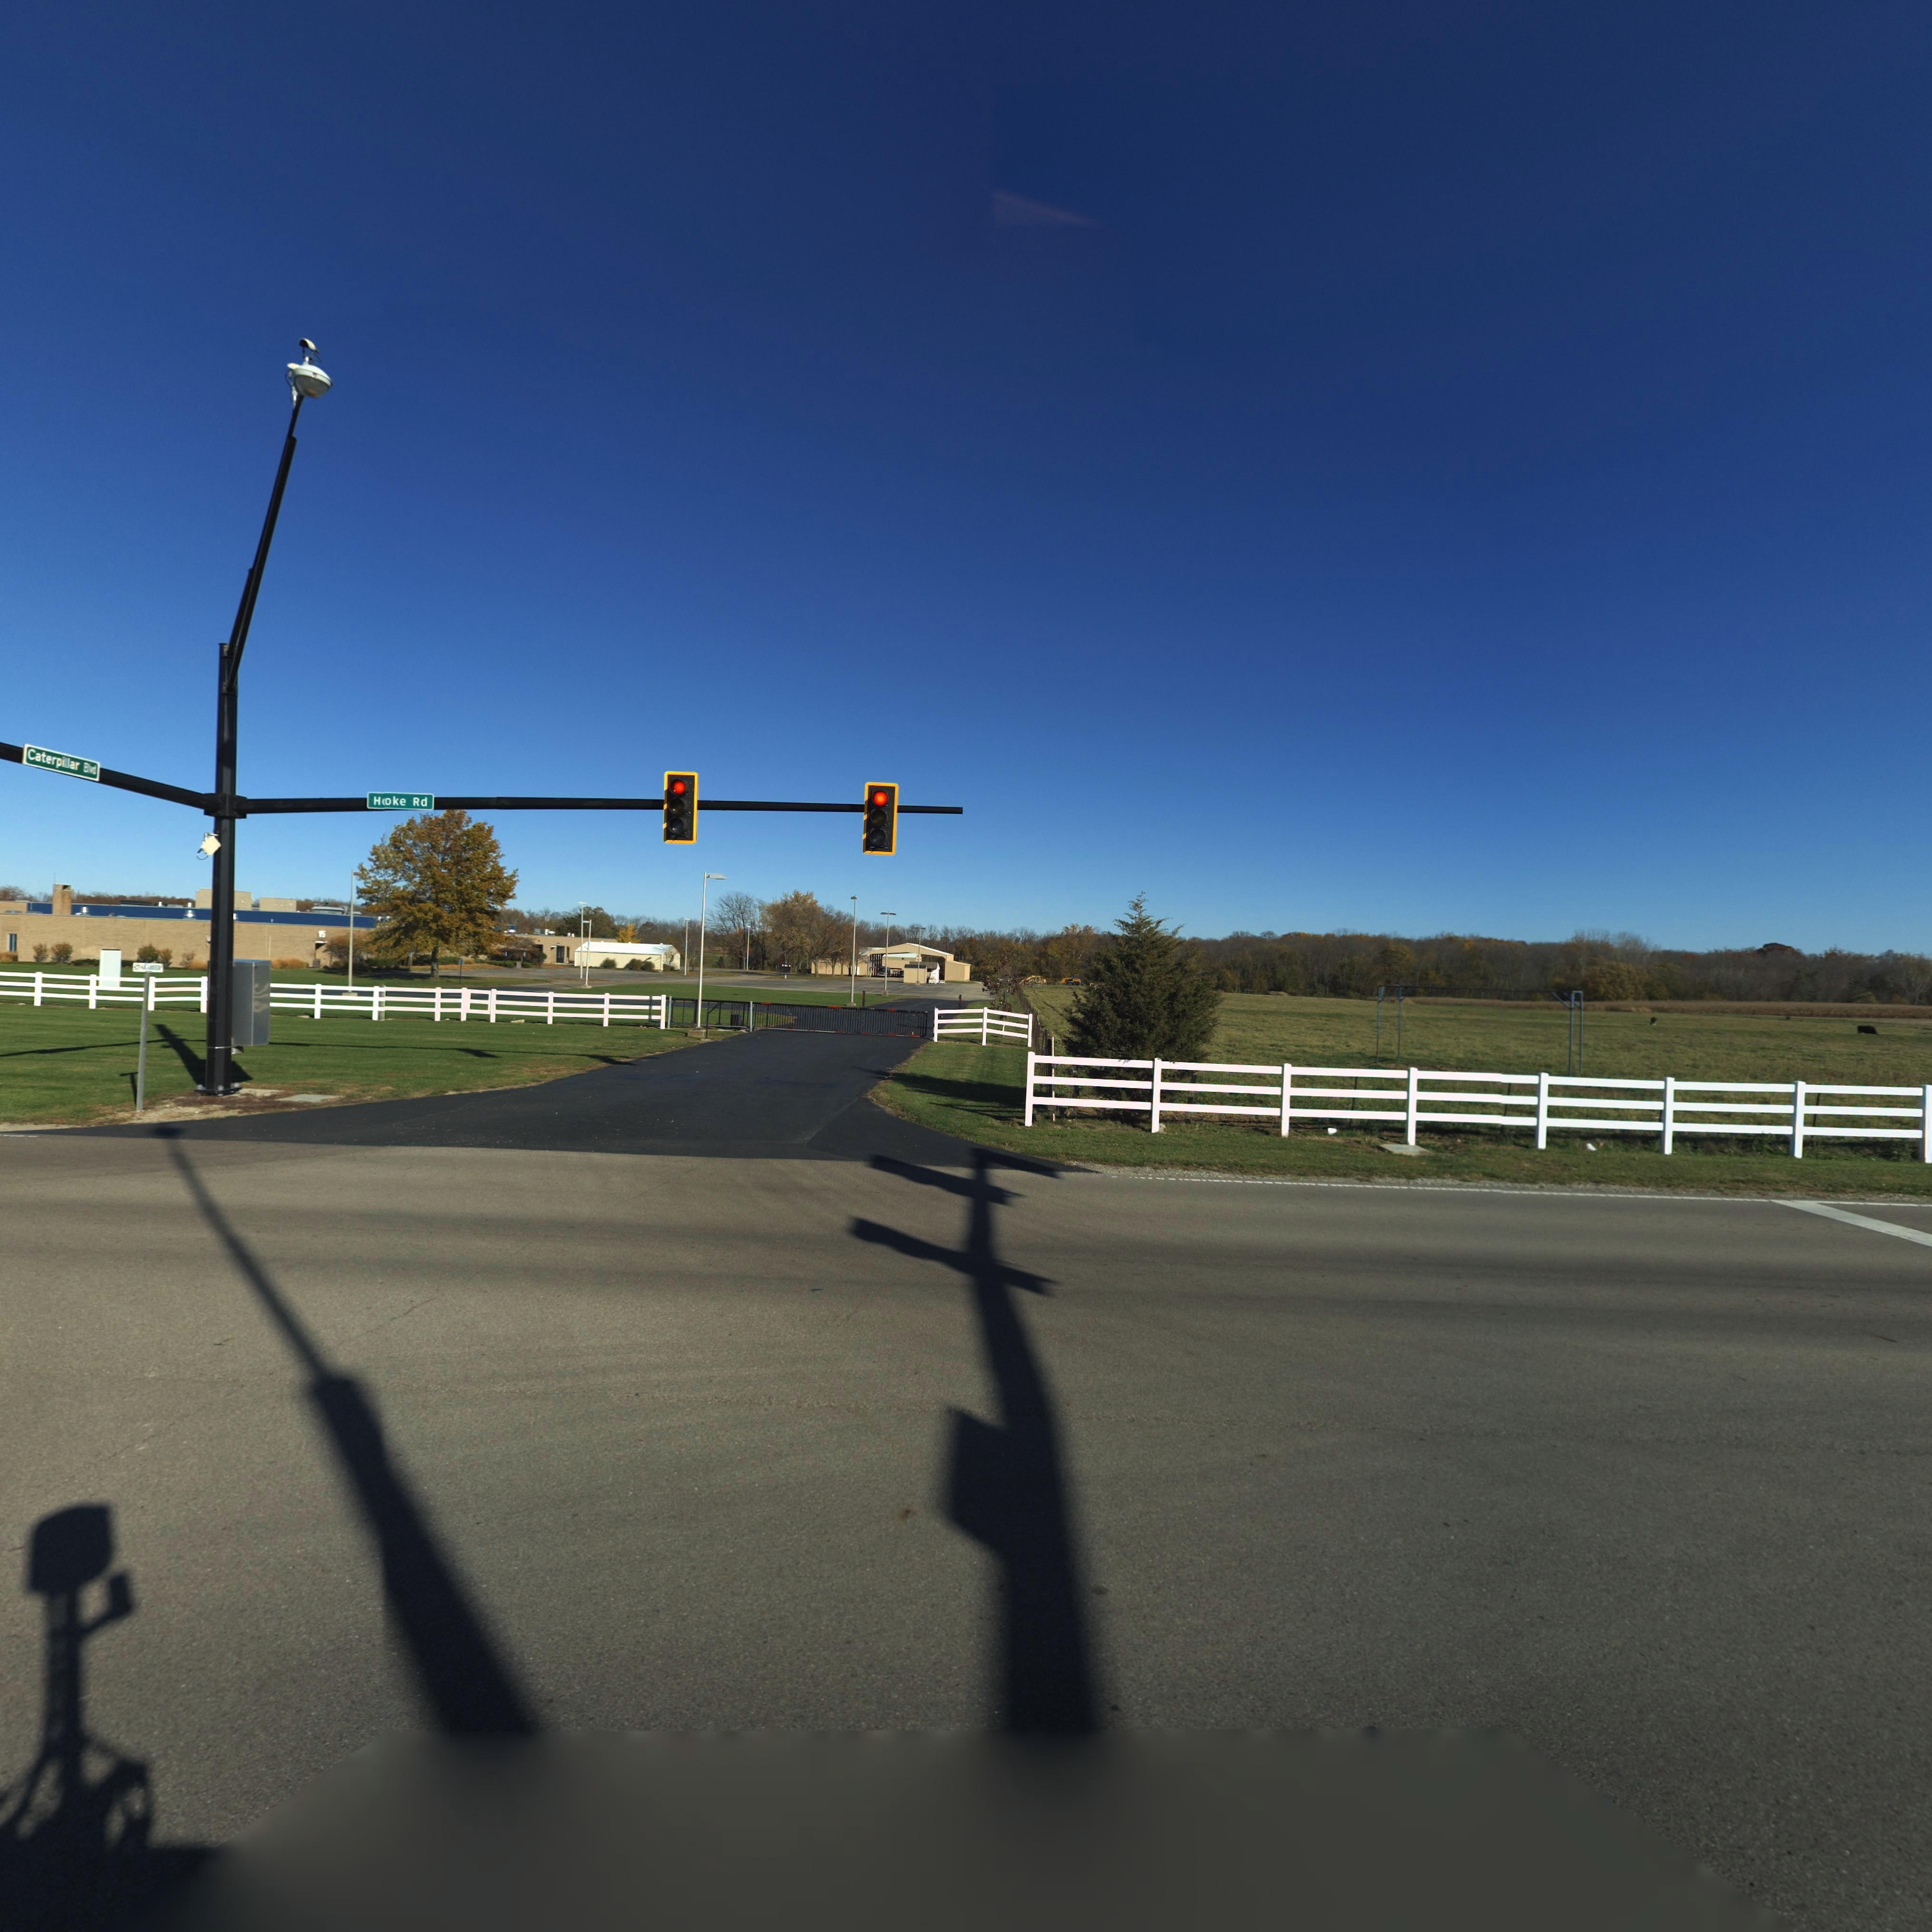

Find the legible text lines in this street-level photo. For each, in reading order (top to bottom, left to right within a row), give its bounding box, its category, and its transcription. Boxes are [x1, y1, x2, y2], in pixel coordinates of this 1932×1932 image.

[318, 930, 326, 938] StreetNumber: 15